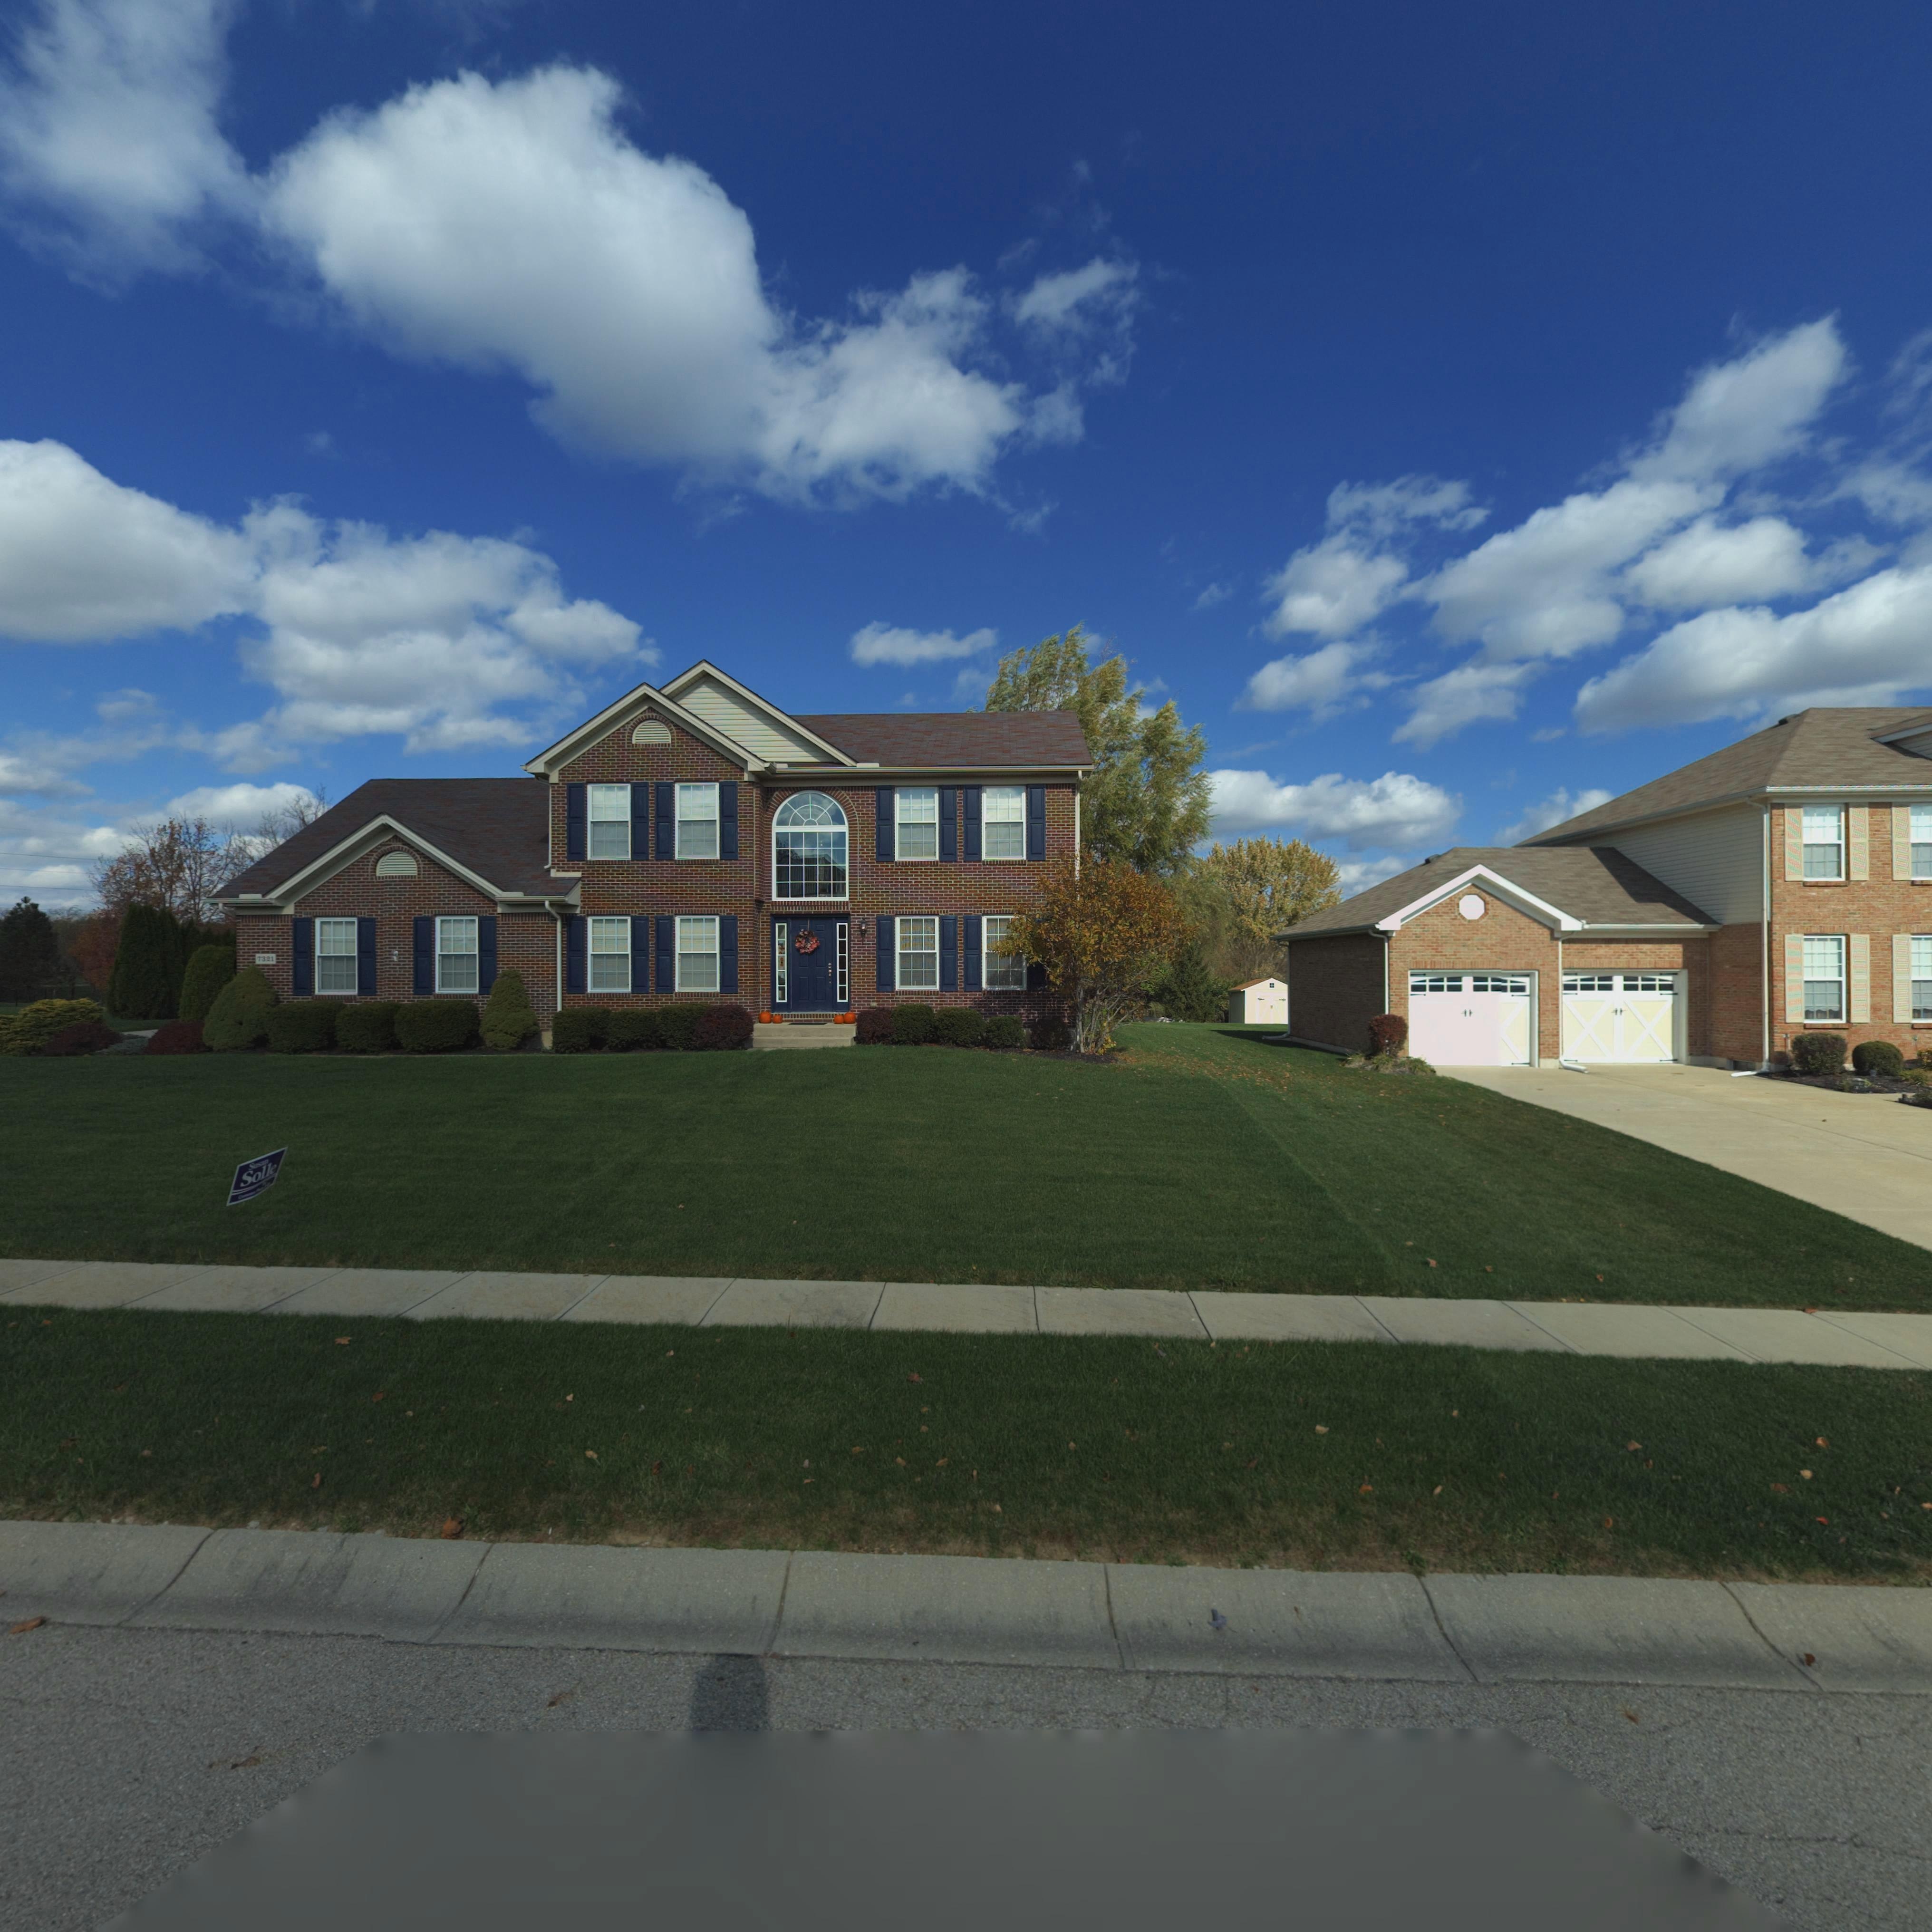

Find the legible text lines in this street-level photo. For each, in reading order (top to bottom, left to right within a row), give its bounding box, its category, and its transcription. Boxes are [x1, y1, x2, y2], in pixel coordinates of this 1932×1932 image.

[257, 956, 275, 962] StreetNumber: 7321